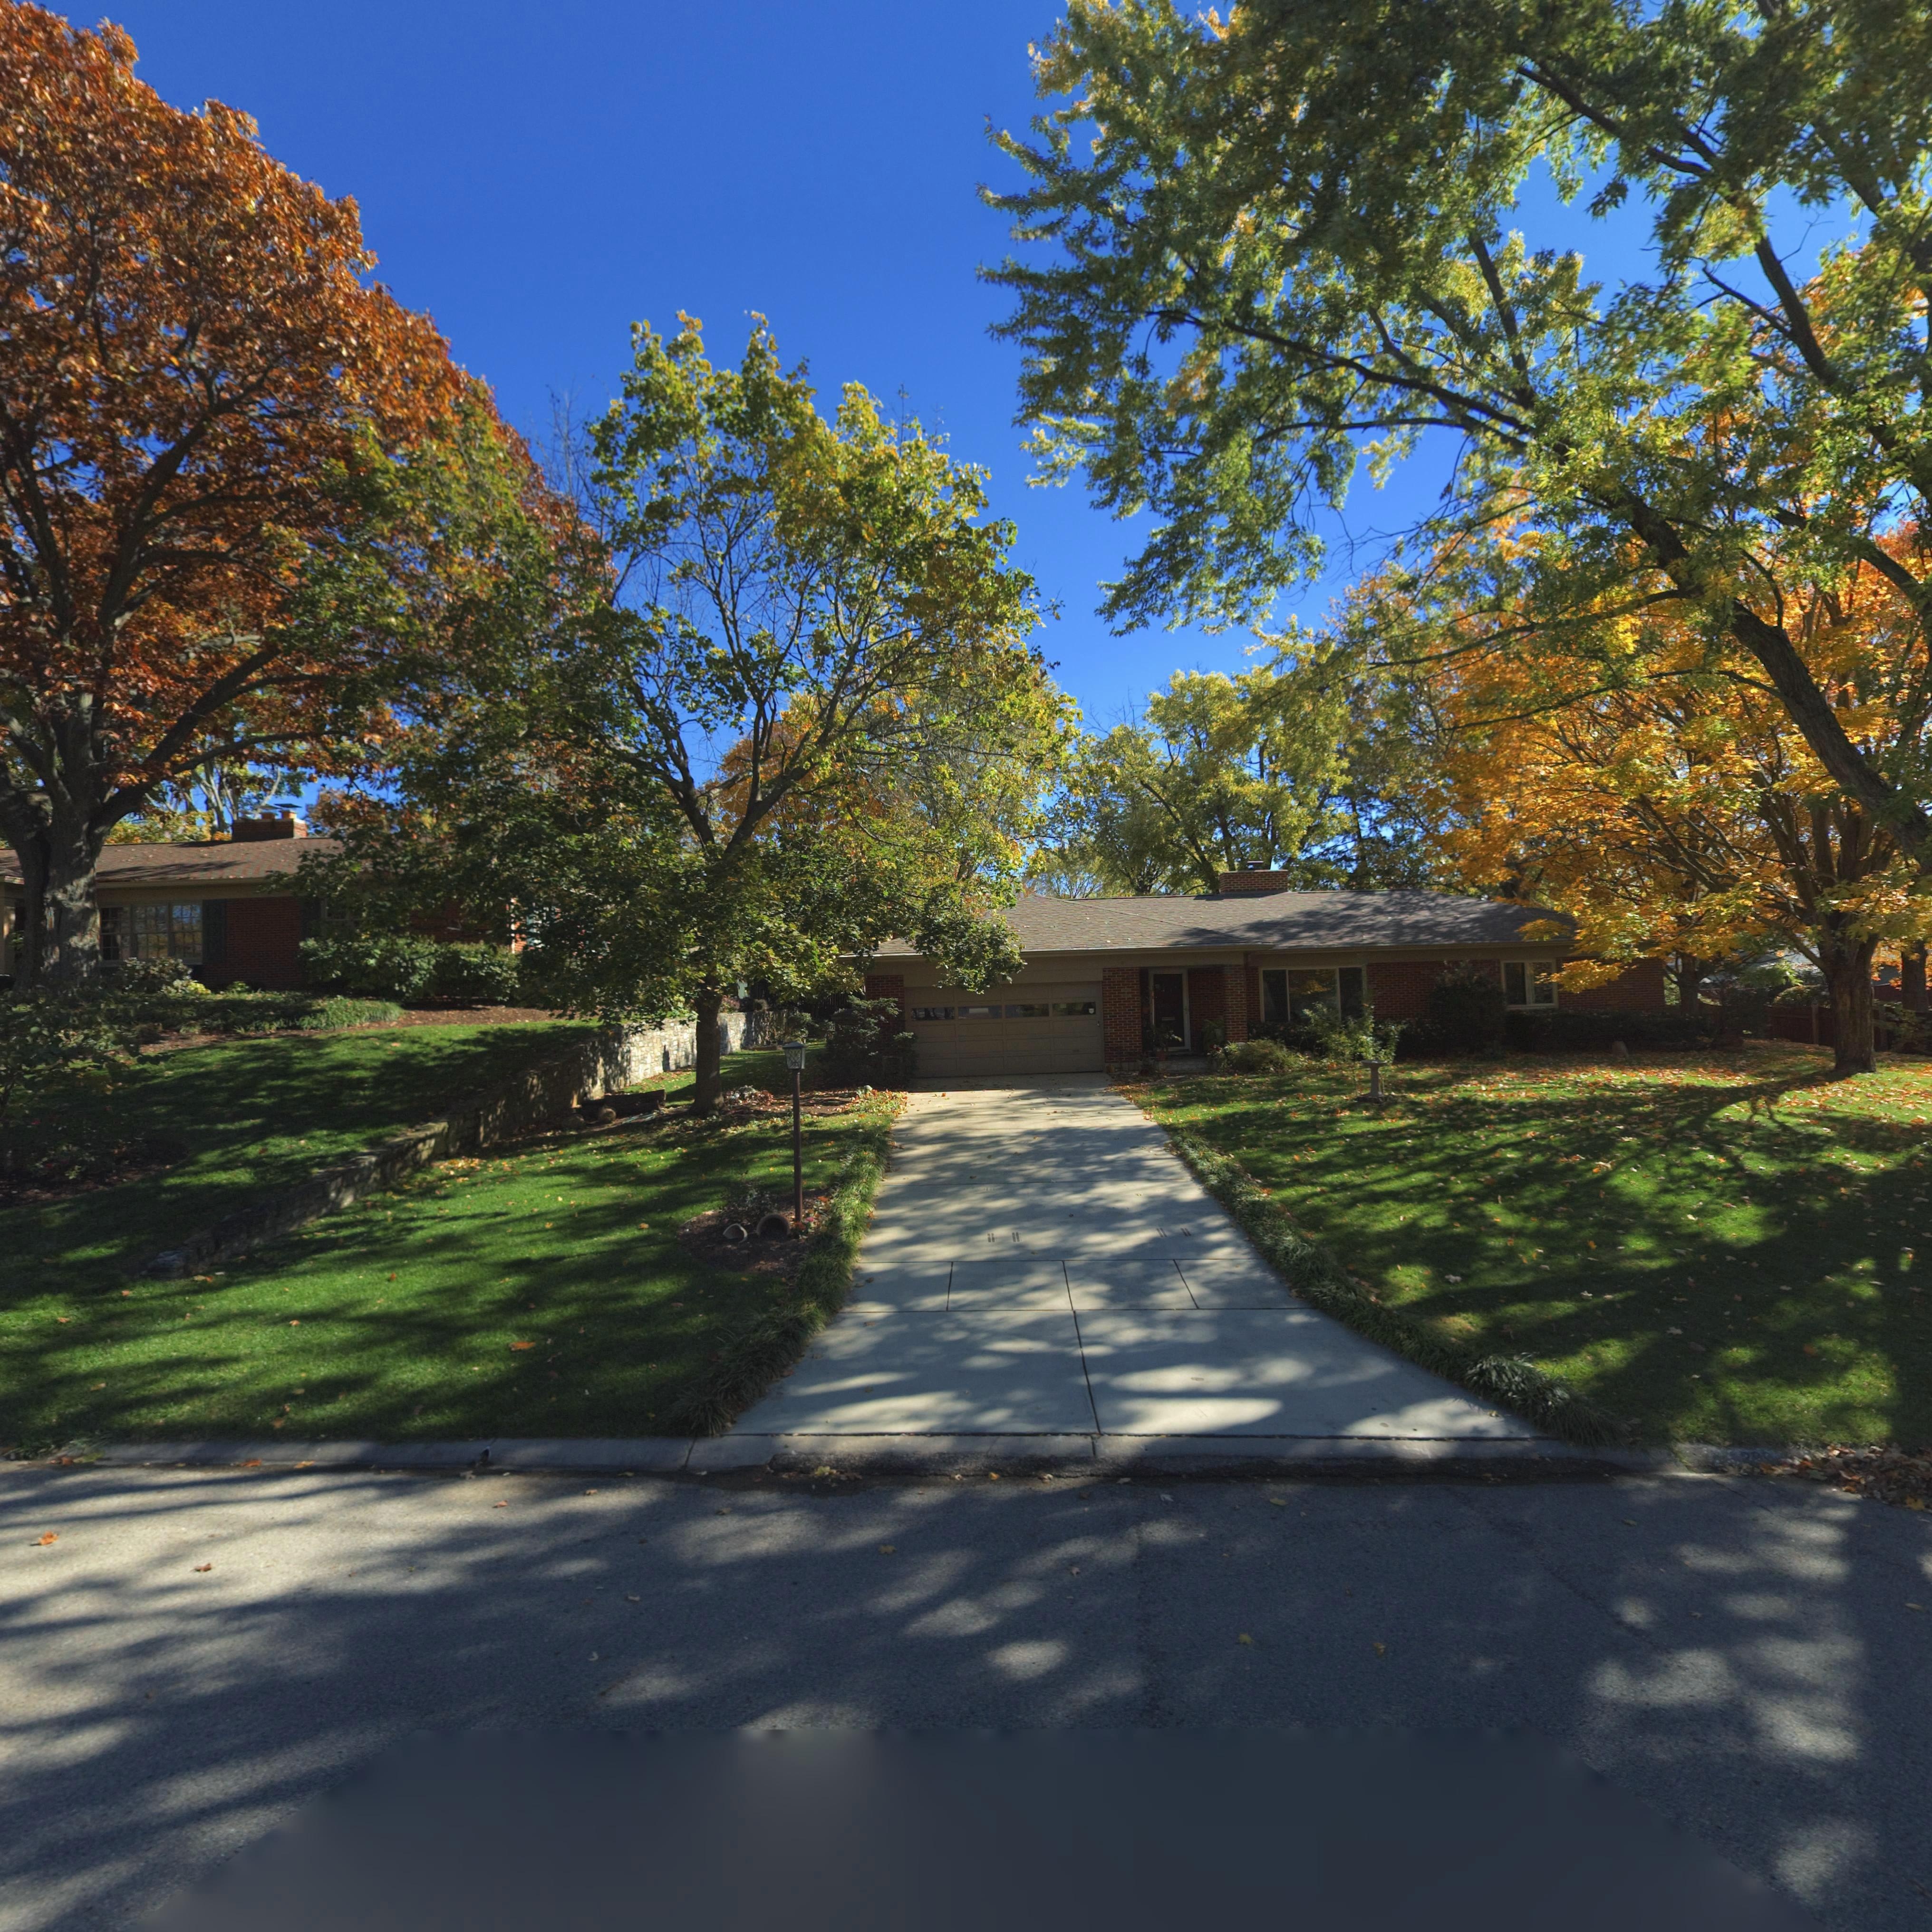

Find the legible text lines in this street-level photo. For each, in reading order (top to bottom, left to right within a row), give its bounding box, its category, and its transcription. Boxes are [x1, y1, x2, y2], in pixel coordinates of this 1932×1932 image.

[1736, 1451, 1779, 1465] StreetNumber: 2*0